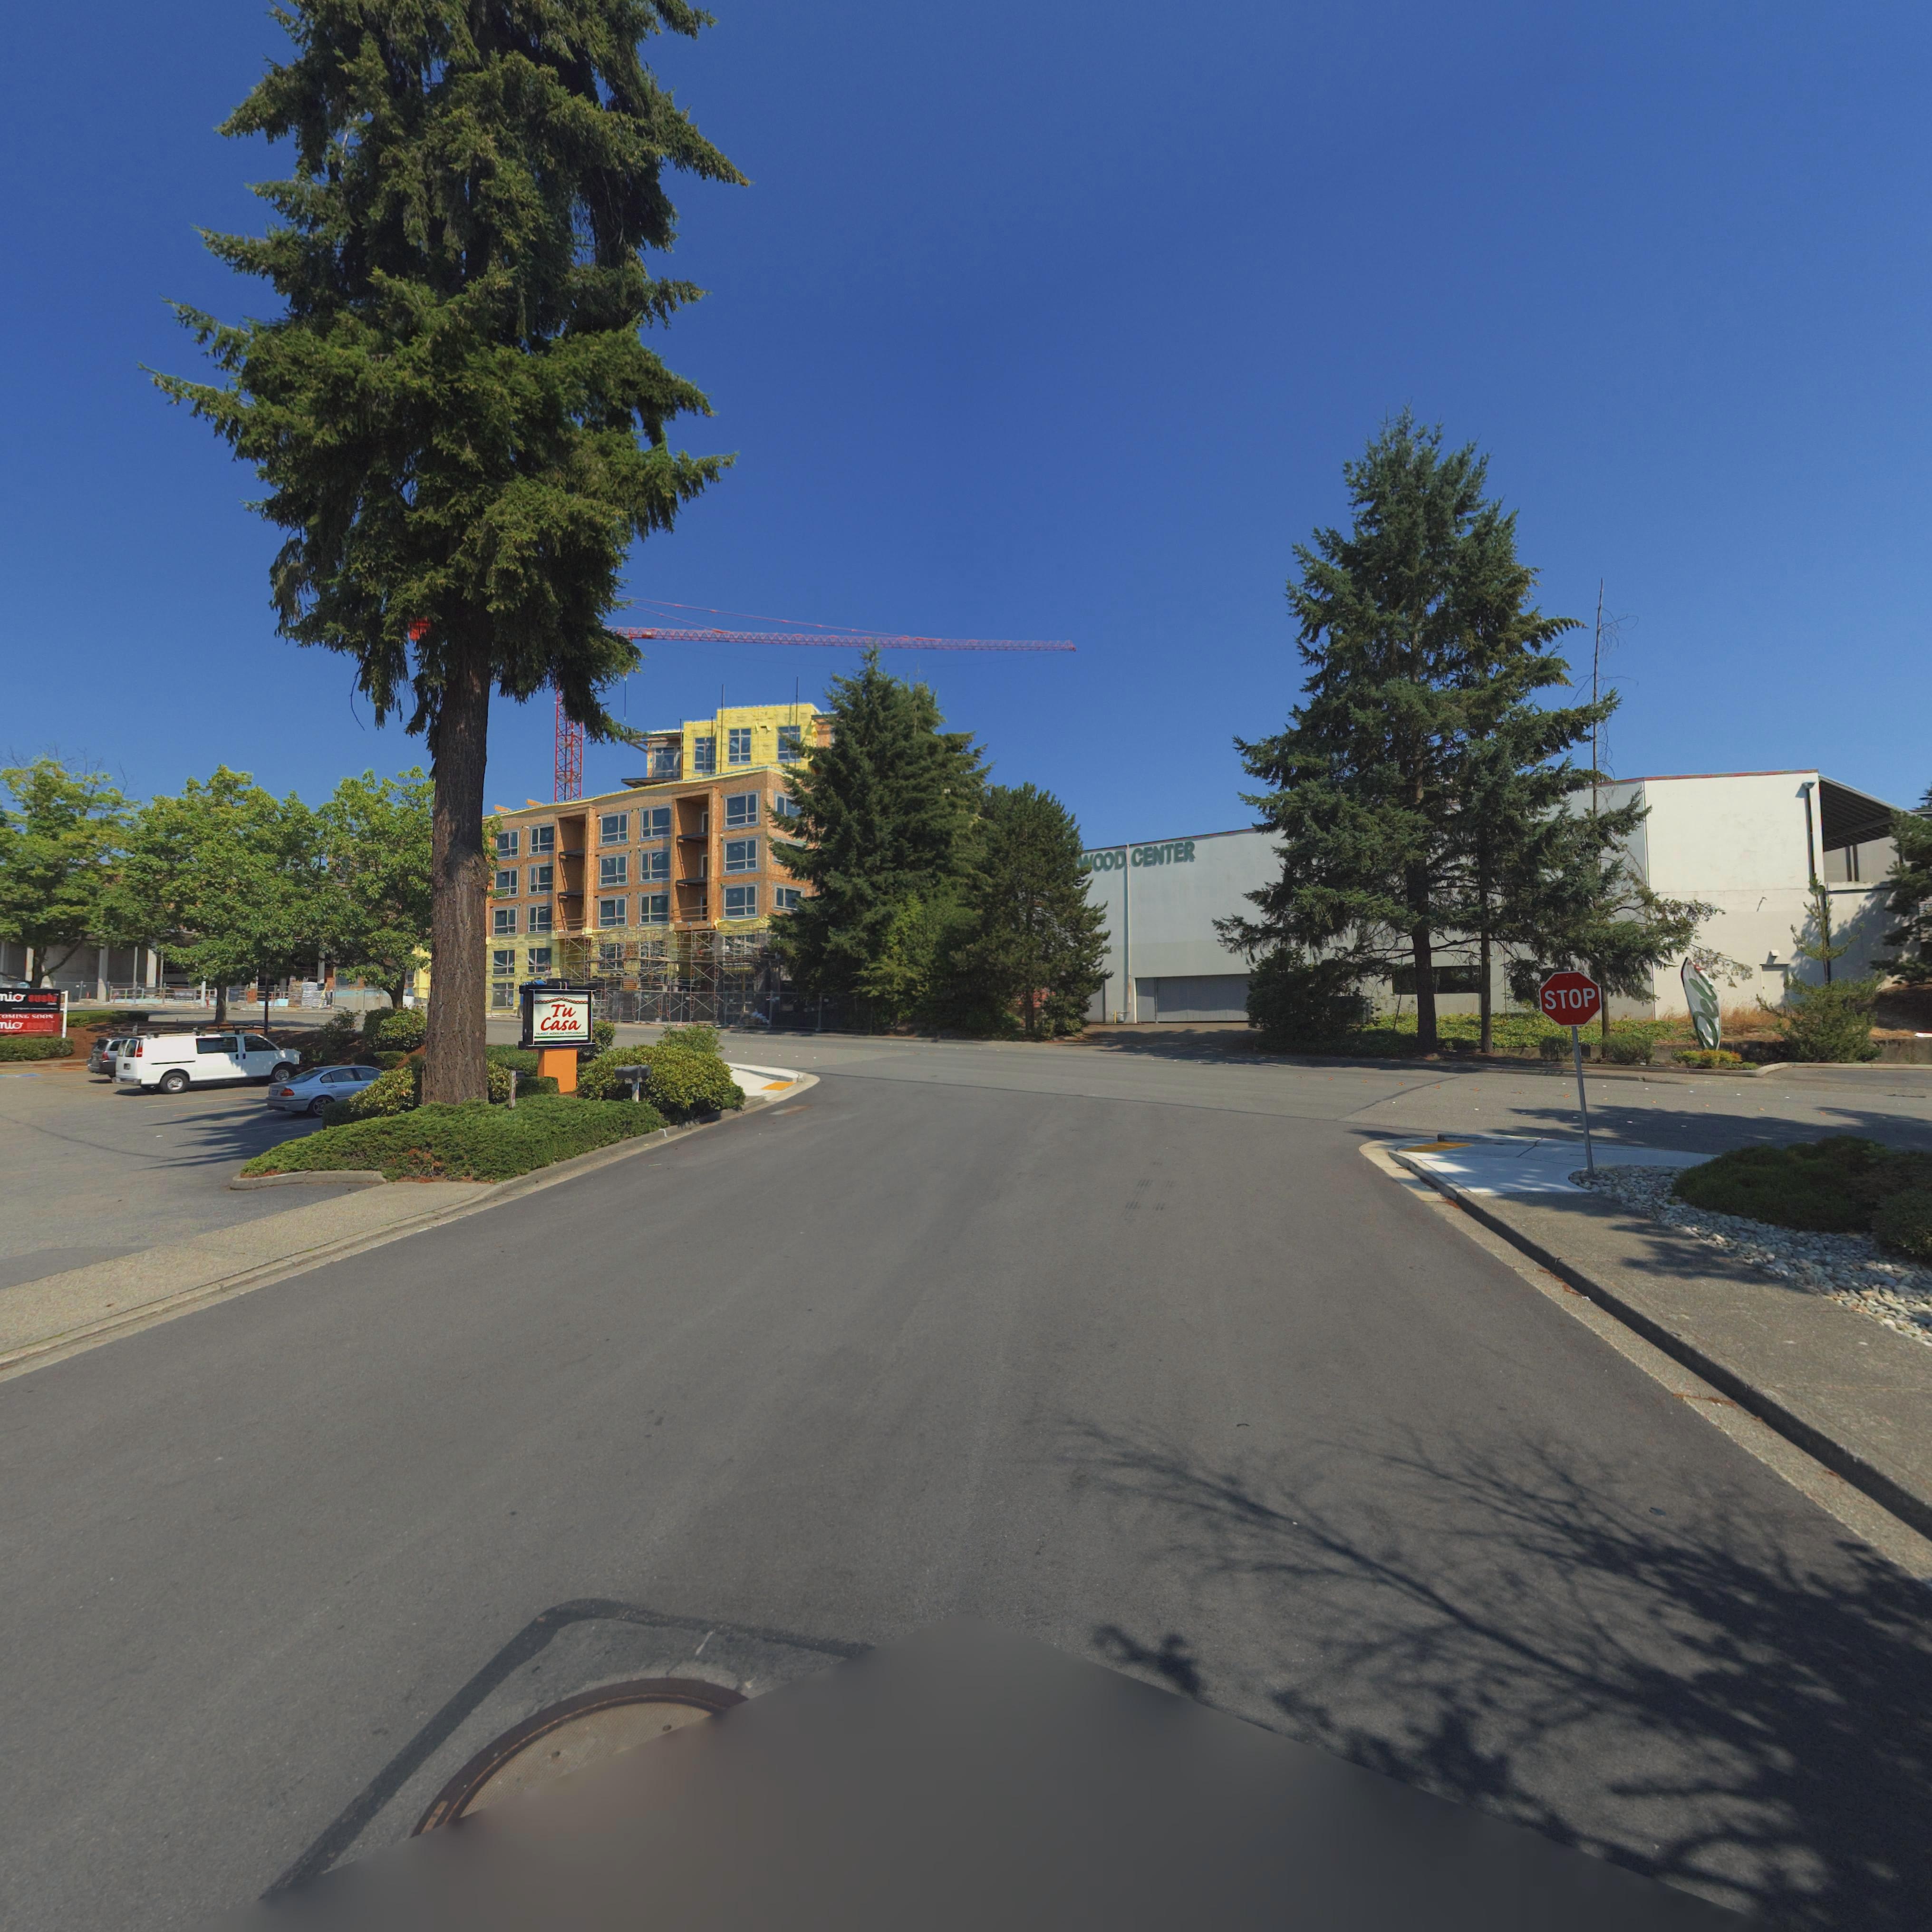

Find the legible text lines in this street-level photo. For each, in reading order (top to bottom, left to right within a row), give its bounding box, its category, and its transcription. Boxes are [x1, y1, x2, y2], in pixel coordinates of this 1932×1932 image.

[1129, 840, 1181, 867] BusinessName: CENTER
[28, 992, 60, 1002] None: SUSHI
[1544, 986, 1596, 1009] TrafficSign: STOP
[549, 1003, 579, 1018] BusinessName: TU
[539, 1015, 584, 1032] BusinessName: CASA